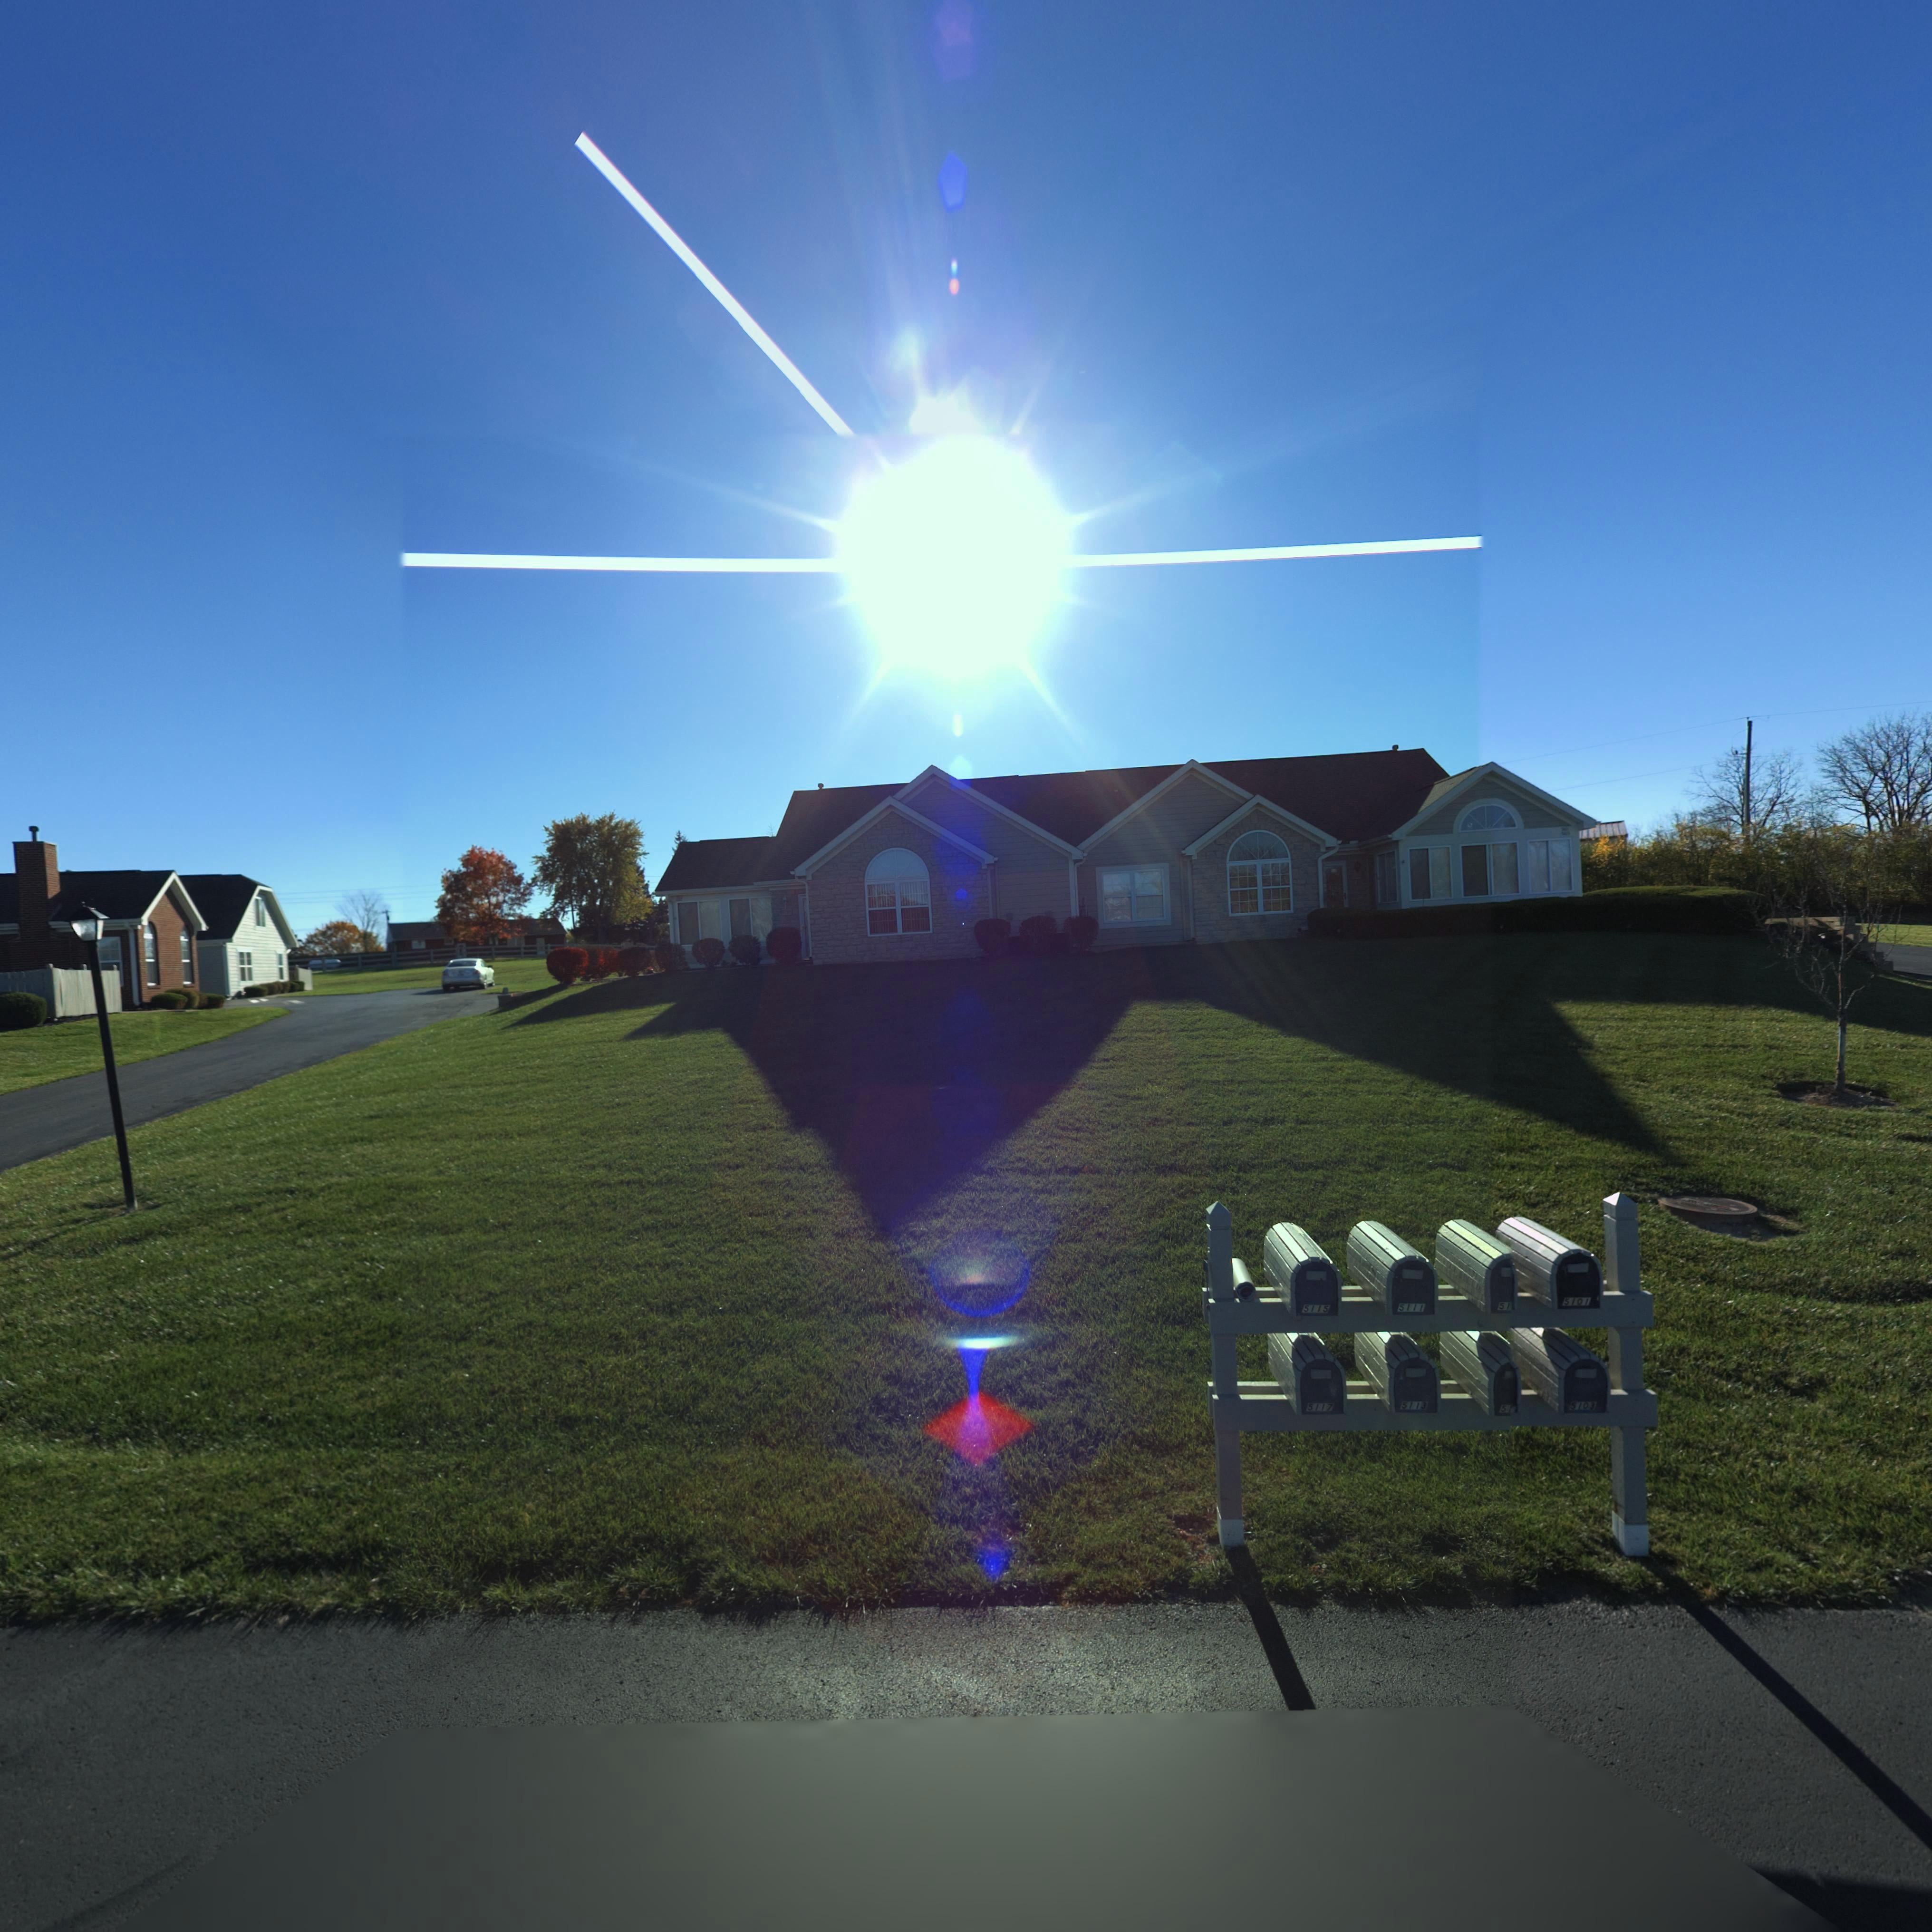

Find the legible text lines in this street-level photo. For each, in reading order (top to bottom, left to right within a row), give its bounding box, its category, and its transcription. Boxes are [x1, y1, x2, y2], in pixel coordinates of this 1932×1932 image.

[1302, 1304, 1330, 1314] StreetNumber: 5115
[1398, 1303, 1425, 1313] StreetNumber: 5111
[1497, 1301, 1512, 1311] StreetNumber: 51
[1563, 1297, 1590, 1306] StreetNumber: 5101
[1306, 1402, 1335, 1412] StreetNumber: 5117
[1401, 1401, 1428, 1410] StreetNumber: 5113
[1499, 1404, 1508, 1413] StreetNumber: 5
[1569, 1401, 1596, 1411] StreetNumber: 5103